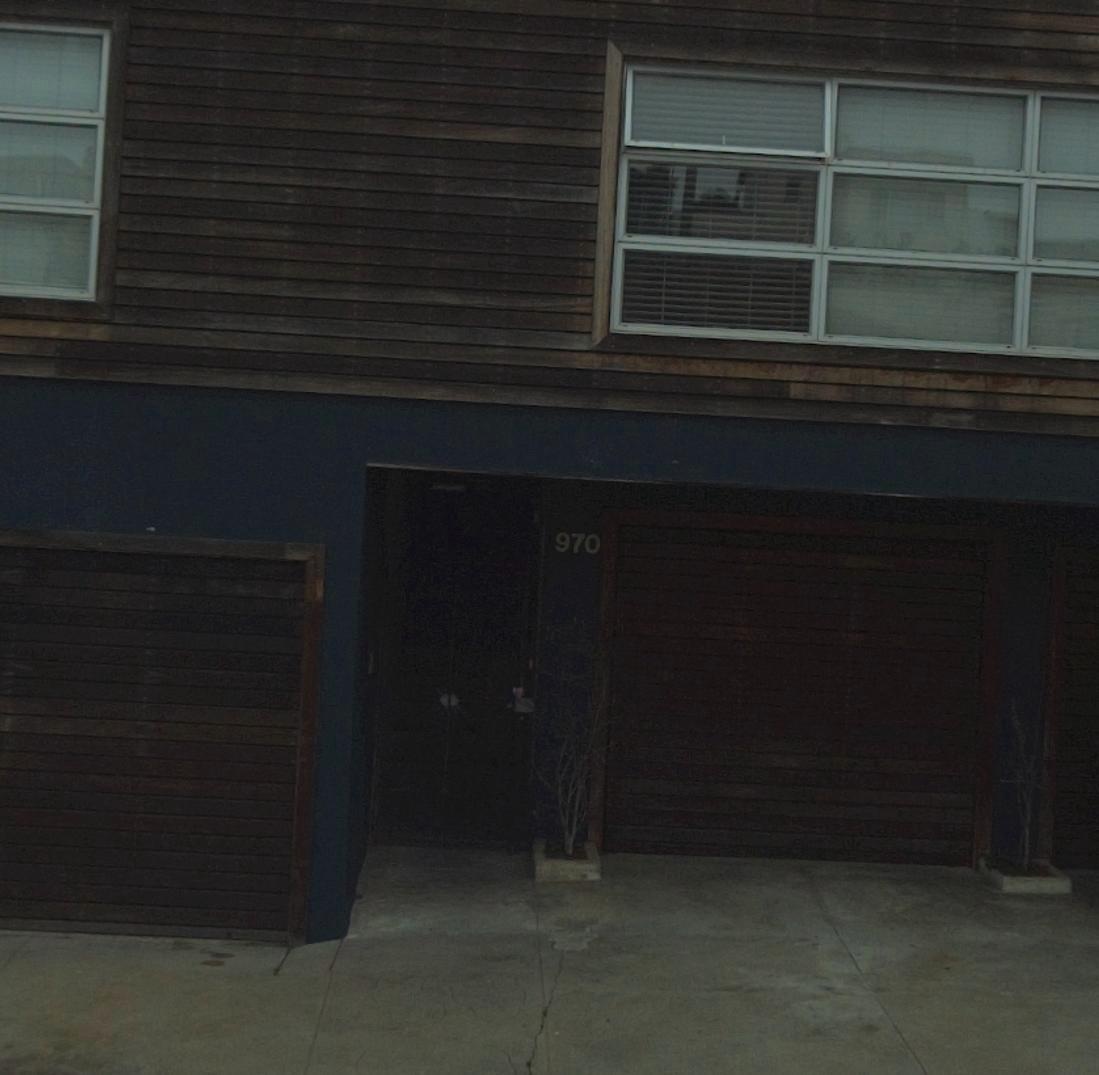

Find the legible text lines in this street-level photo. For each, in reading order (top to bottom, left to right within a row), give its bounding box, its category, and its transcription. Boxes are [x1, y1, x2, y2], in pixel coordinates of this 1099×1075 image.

[554, 530, 603, 556] StreetNumber: 970